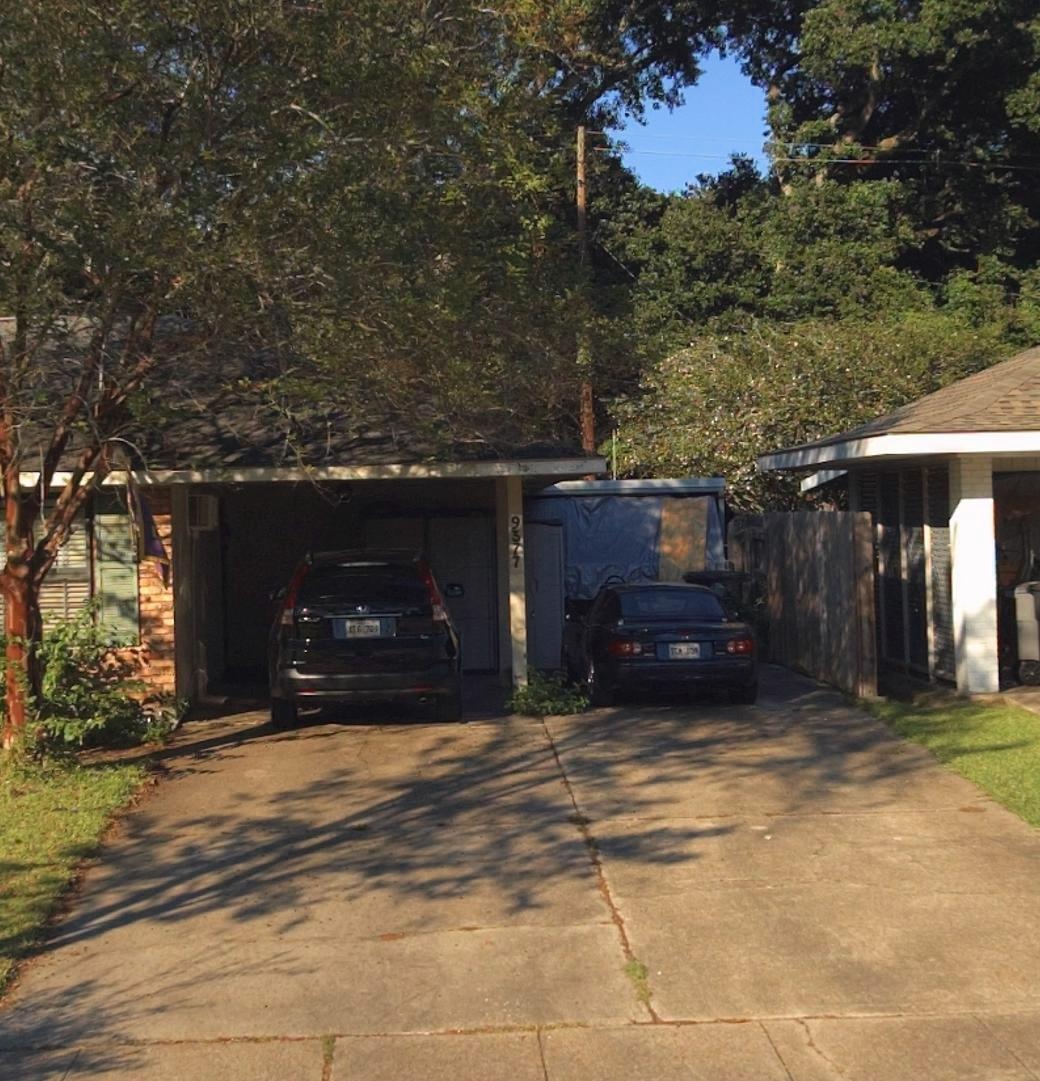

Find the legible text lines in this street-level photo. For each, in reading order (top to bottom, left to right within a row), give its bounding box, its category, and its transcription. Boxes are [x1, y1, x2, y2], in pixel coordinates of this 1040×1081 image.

[509, 514, 521, 569] StreetNumber: 9377